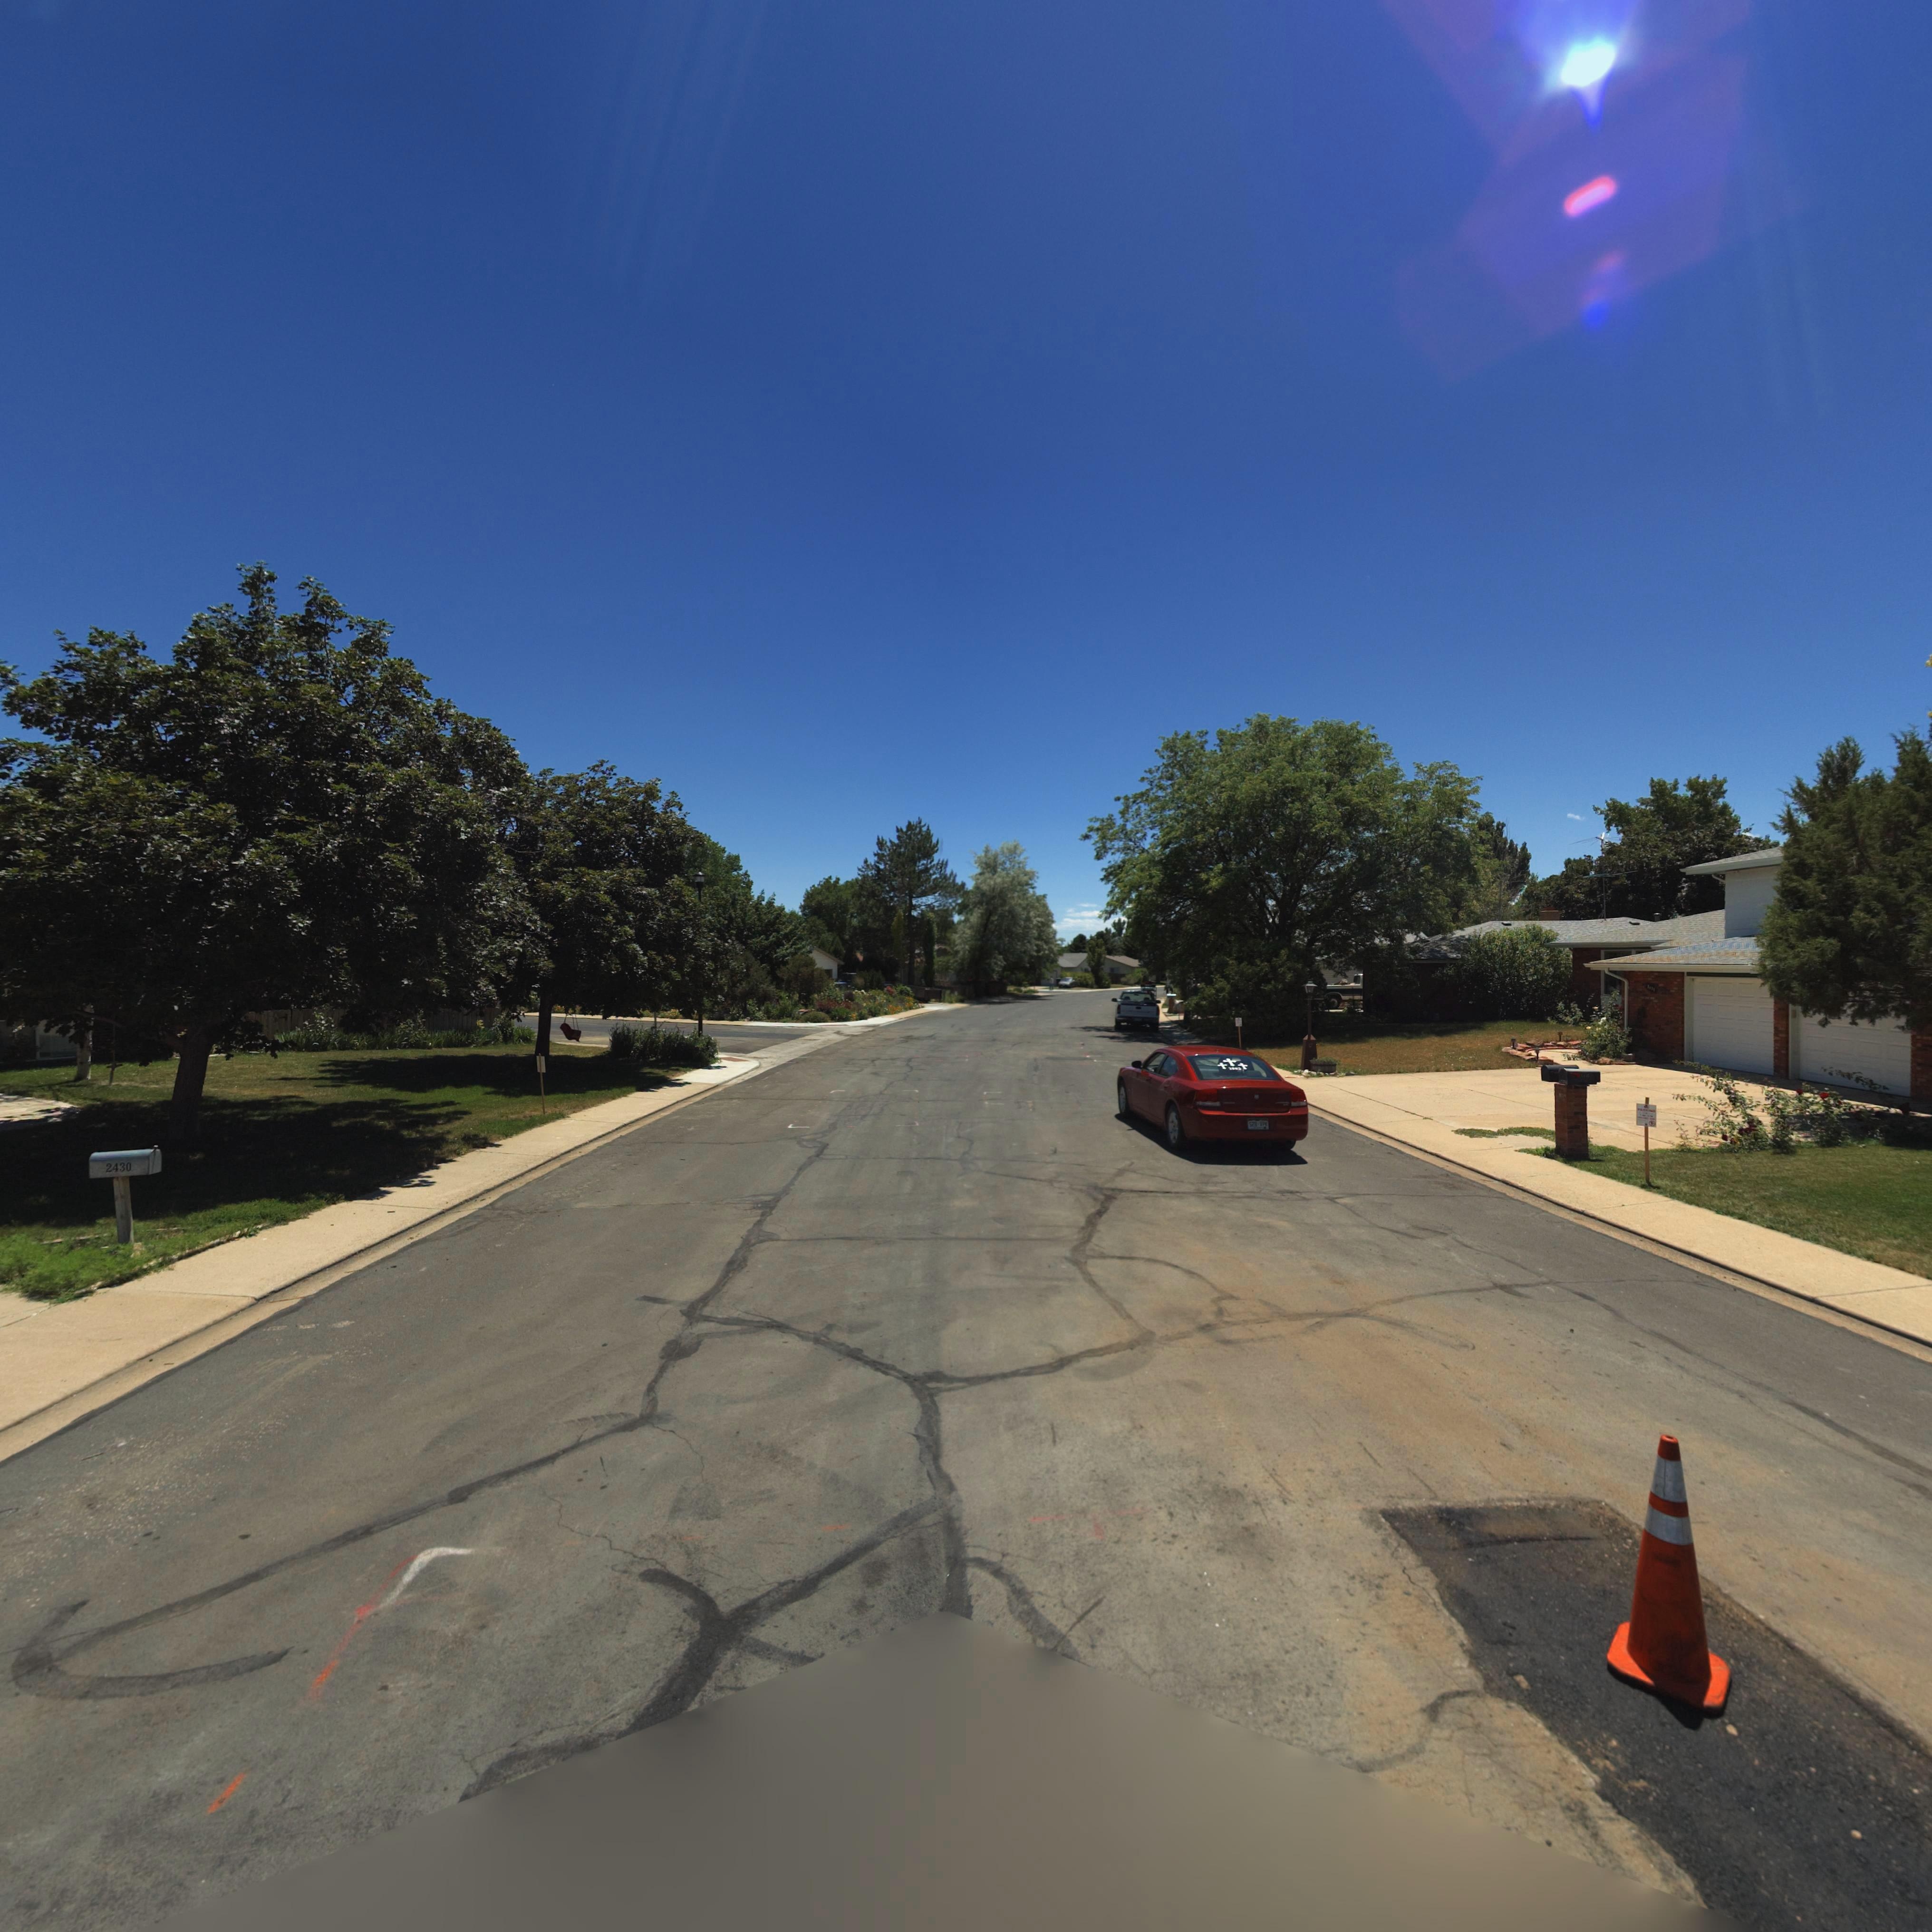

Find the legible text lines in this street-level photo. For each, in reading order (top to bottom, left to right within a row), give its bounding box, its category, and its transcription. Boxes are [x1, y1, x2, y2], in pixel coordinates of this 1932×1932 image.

[1647, 984, 1655, 992] StreetNumber: 1***
[105, 1161, 132, 1173] StreetNumber: 2430